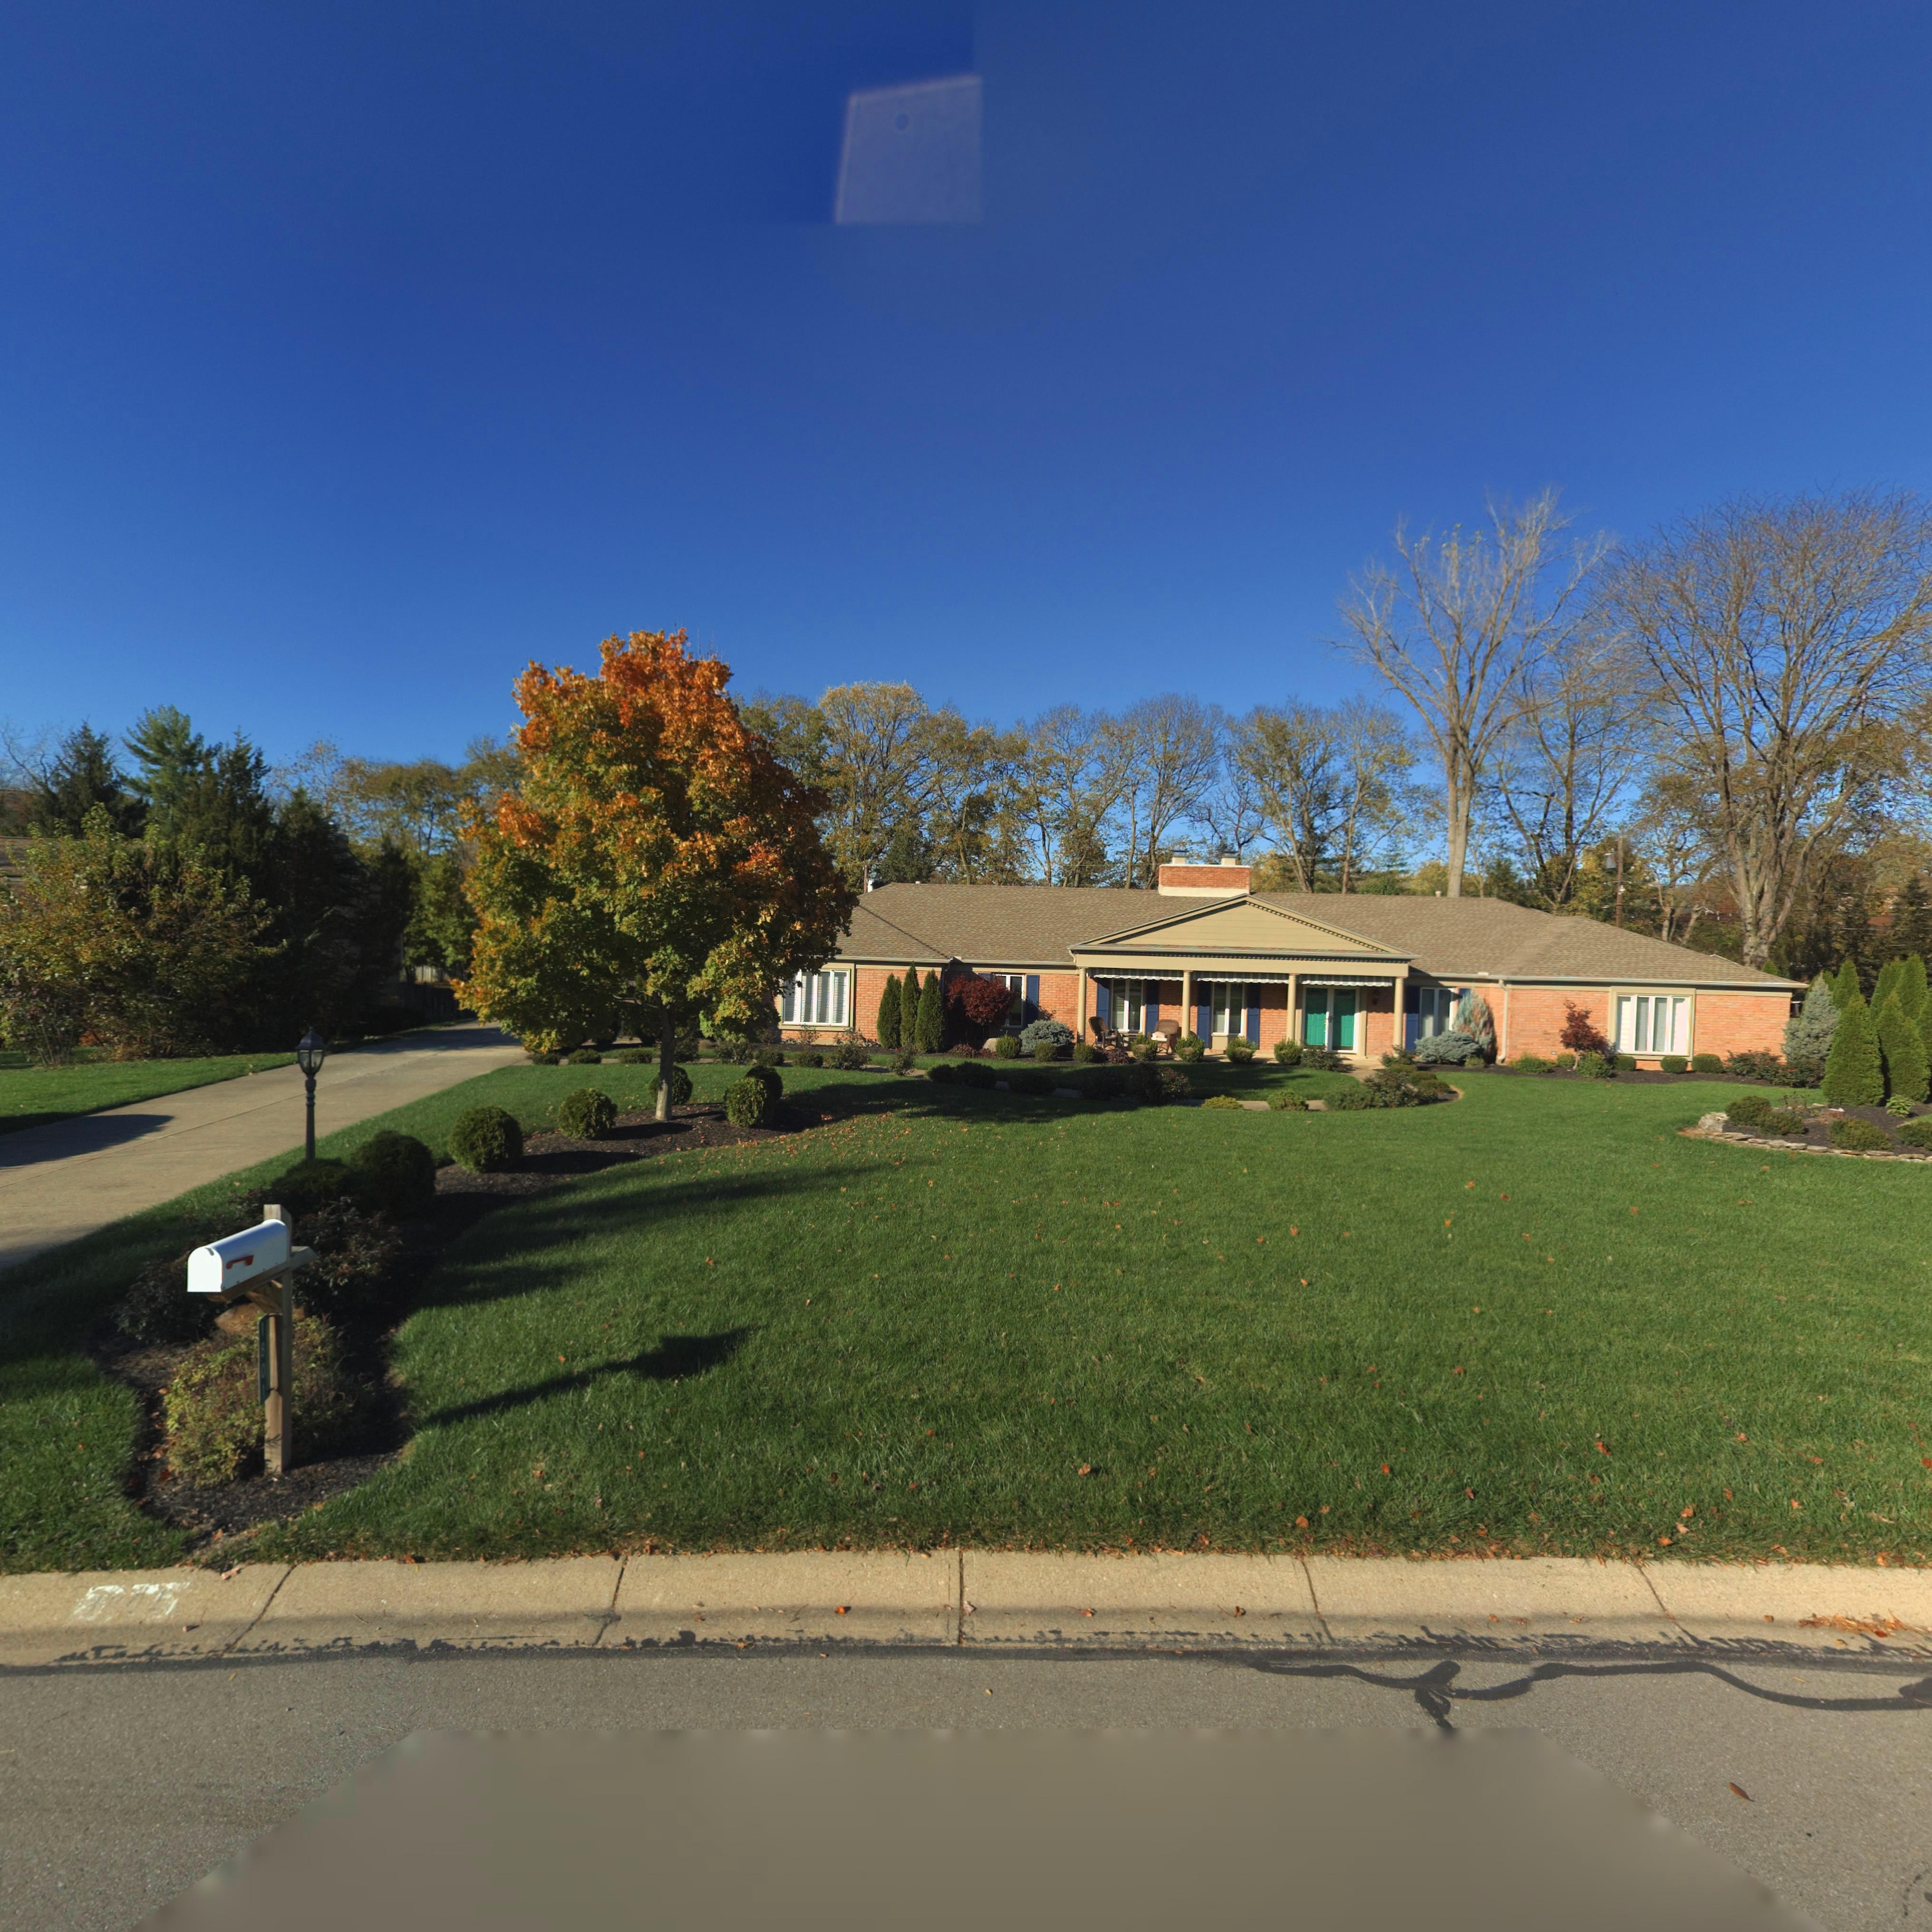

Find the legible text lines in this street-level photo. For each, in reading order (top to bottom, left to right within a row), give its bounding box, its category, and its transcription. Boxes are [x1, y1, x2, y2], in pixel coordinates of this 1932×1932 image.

[259, 1319, 268, 1401] StreetNumber: 1801